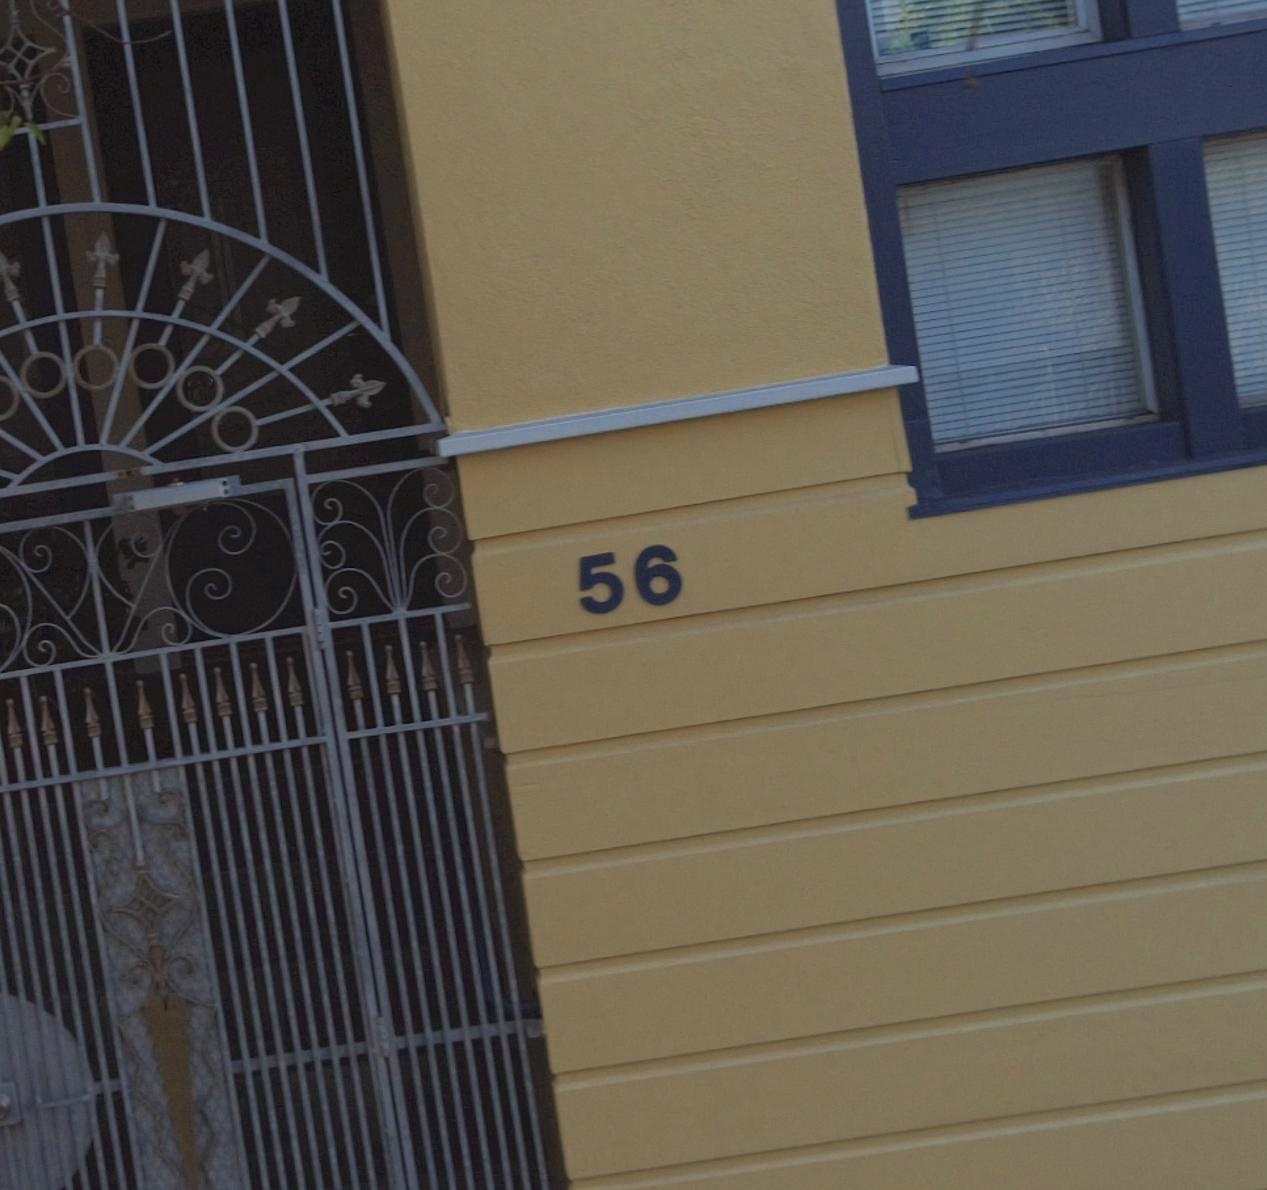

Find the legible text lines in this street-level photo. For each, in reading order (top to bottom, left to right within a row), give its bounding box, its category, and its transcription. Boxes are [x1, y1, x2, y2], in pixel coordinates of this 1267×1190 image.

[571, 539, 689, 620] StreetNumber: 56